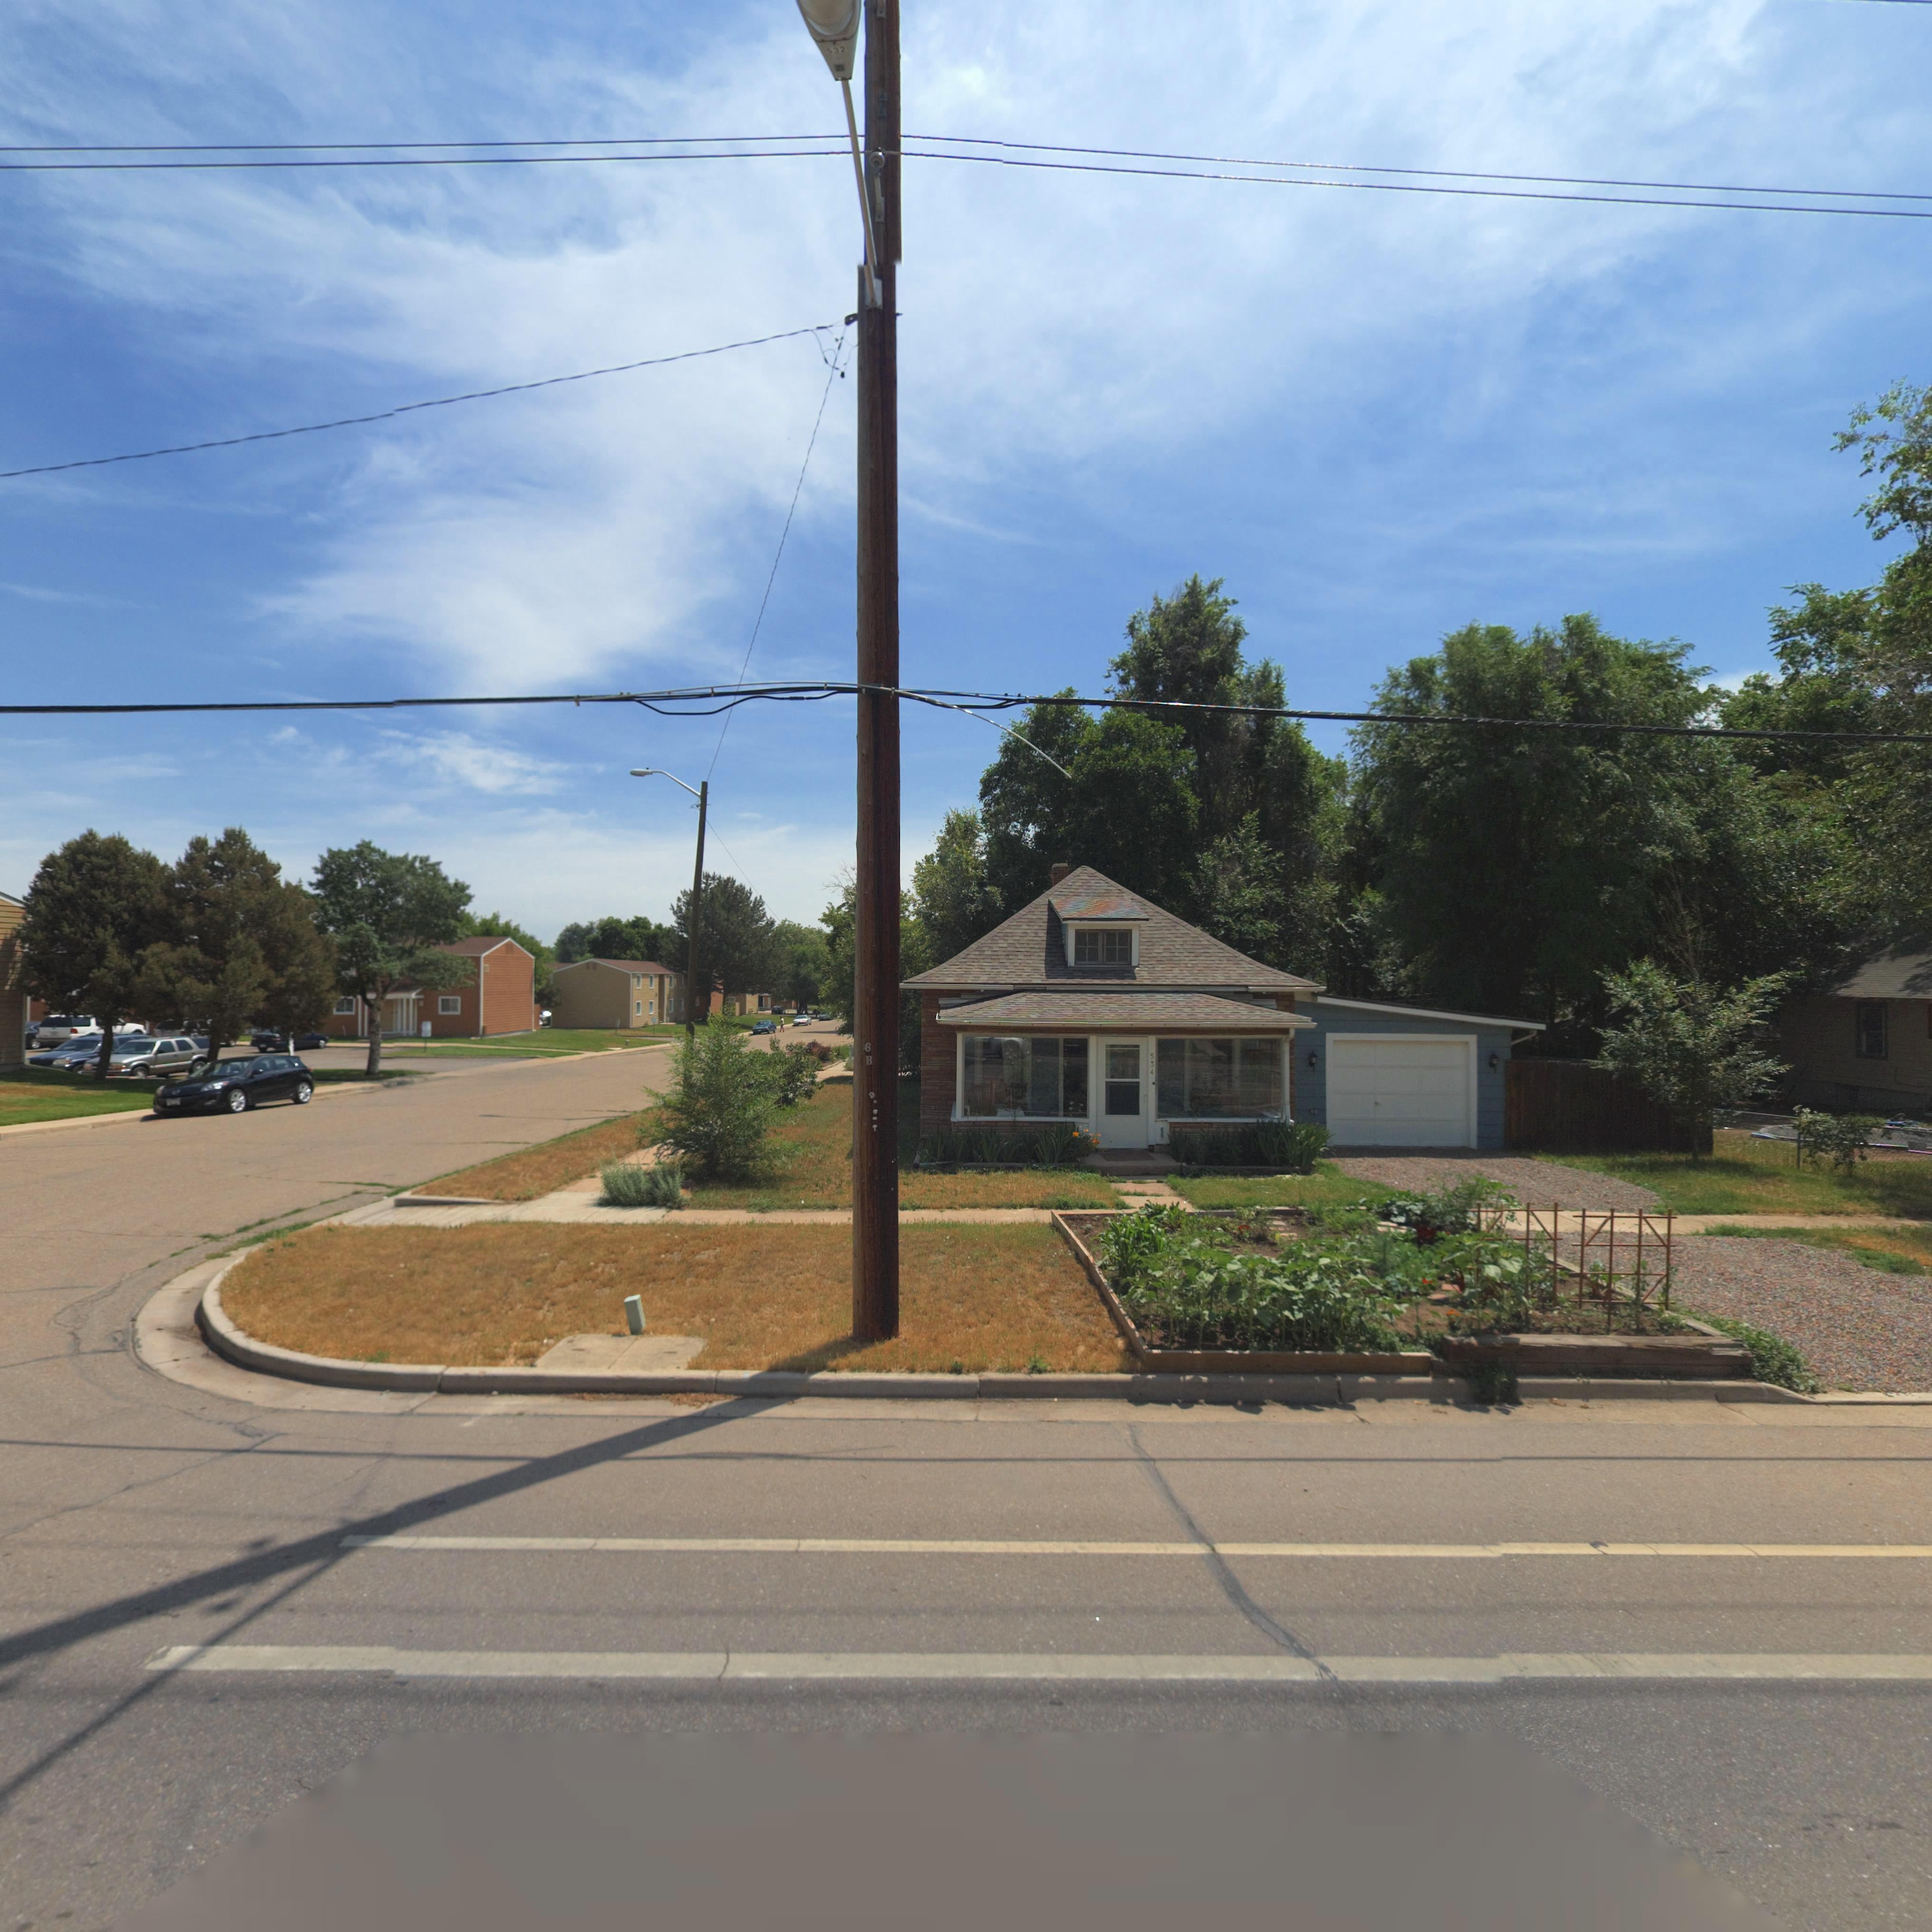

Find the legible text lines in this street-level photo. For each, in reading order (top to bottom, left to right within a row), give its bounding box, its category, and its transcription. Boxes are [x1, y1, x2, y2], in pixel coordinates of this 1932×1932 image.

[1150, 1053, 1154, 1075] StreetNumber: 534